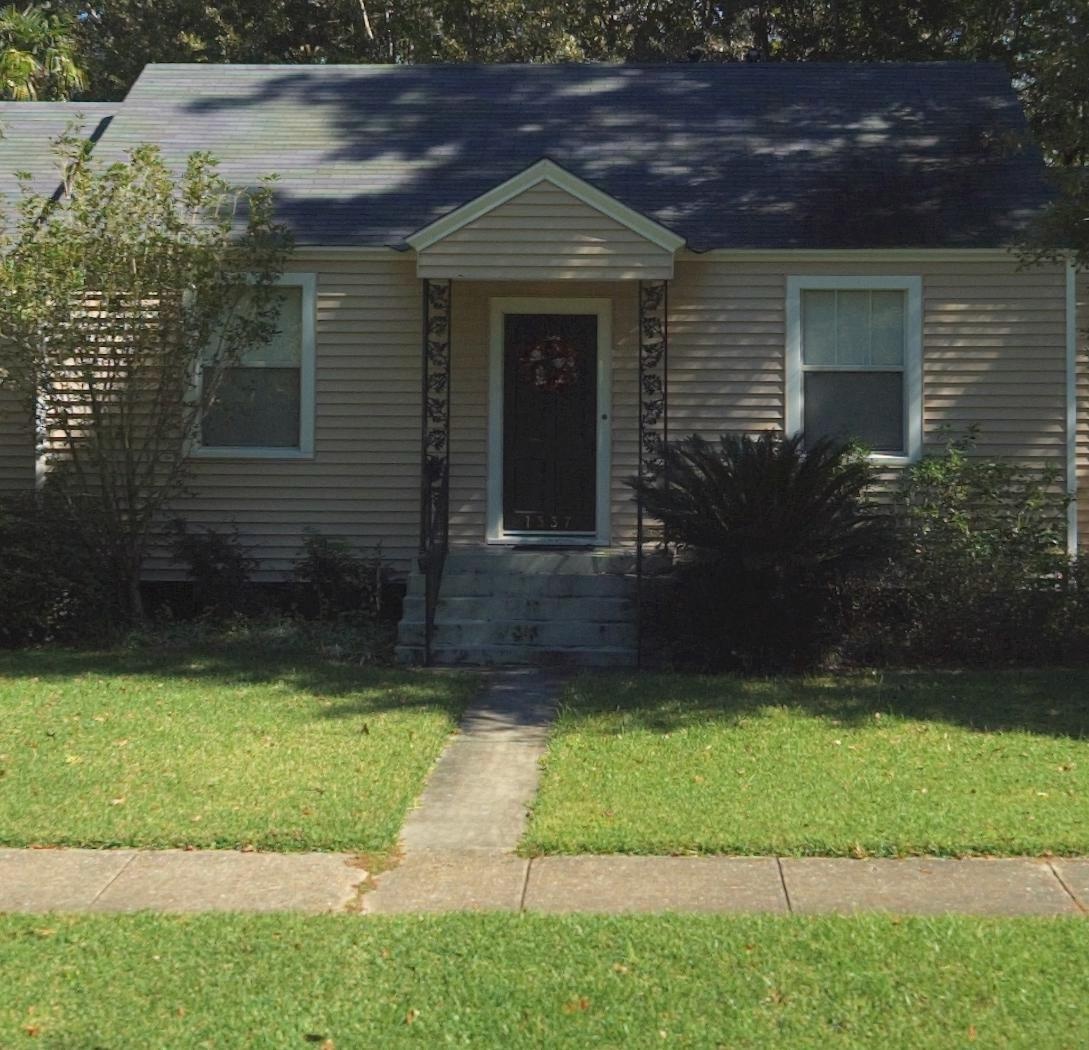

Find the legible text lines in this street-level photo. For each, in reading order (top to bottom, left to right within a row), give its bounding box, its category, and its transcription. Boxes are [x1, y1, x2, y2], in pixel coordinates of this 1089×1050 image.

[523, 514, 574, 530] StreetNumber: 1337